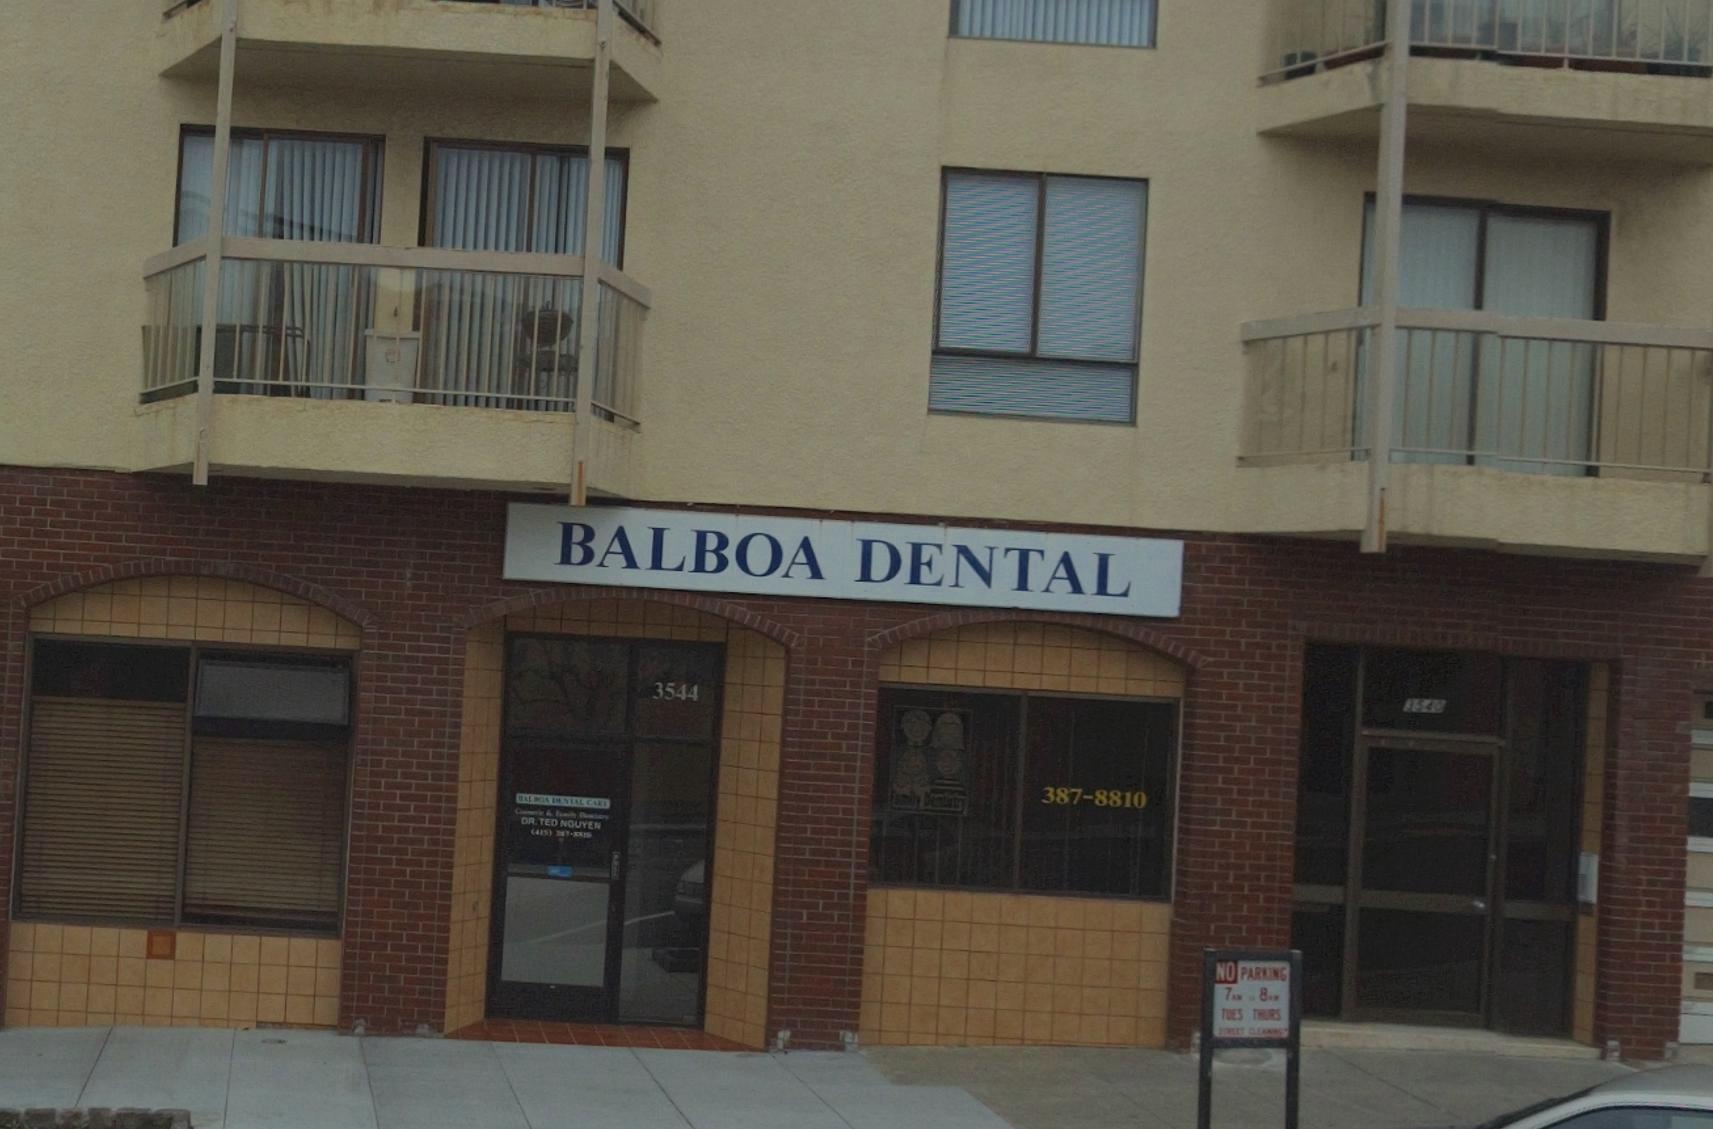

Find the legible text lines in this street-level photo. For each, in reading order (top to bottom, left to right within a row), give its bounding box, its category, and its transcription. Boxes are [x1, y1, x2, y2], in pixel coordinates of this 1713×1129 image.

[552, 518, 1136, 600] BusinessName: BALBOA DENTAL
[651, 680, 700, 704] StreetNumber: 3544
[1403, 698, 1448, 712] StreetNumber: 3540
[515, 792, 609, 809] None: BALBOA DENTAL CARE
[889, 788, 967, 816] None: Family Dentistry
[1038, 784, 1149, 811] None: 387-8810
[517, 814, 604, 834] None: DR. TED N**YE*
[1215, 960, 1289, 984] None: NO PARKING
[1222, 985, 1283, 1002] None: 7am * 8pm
[1219, 1006, 1284, 1022] None: TUES THURS
[1217, 1026, 1286, 1037] None: STREET CLEANING